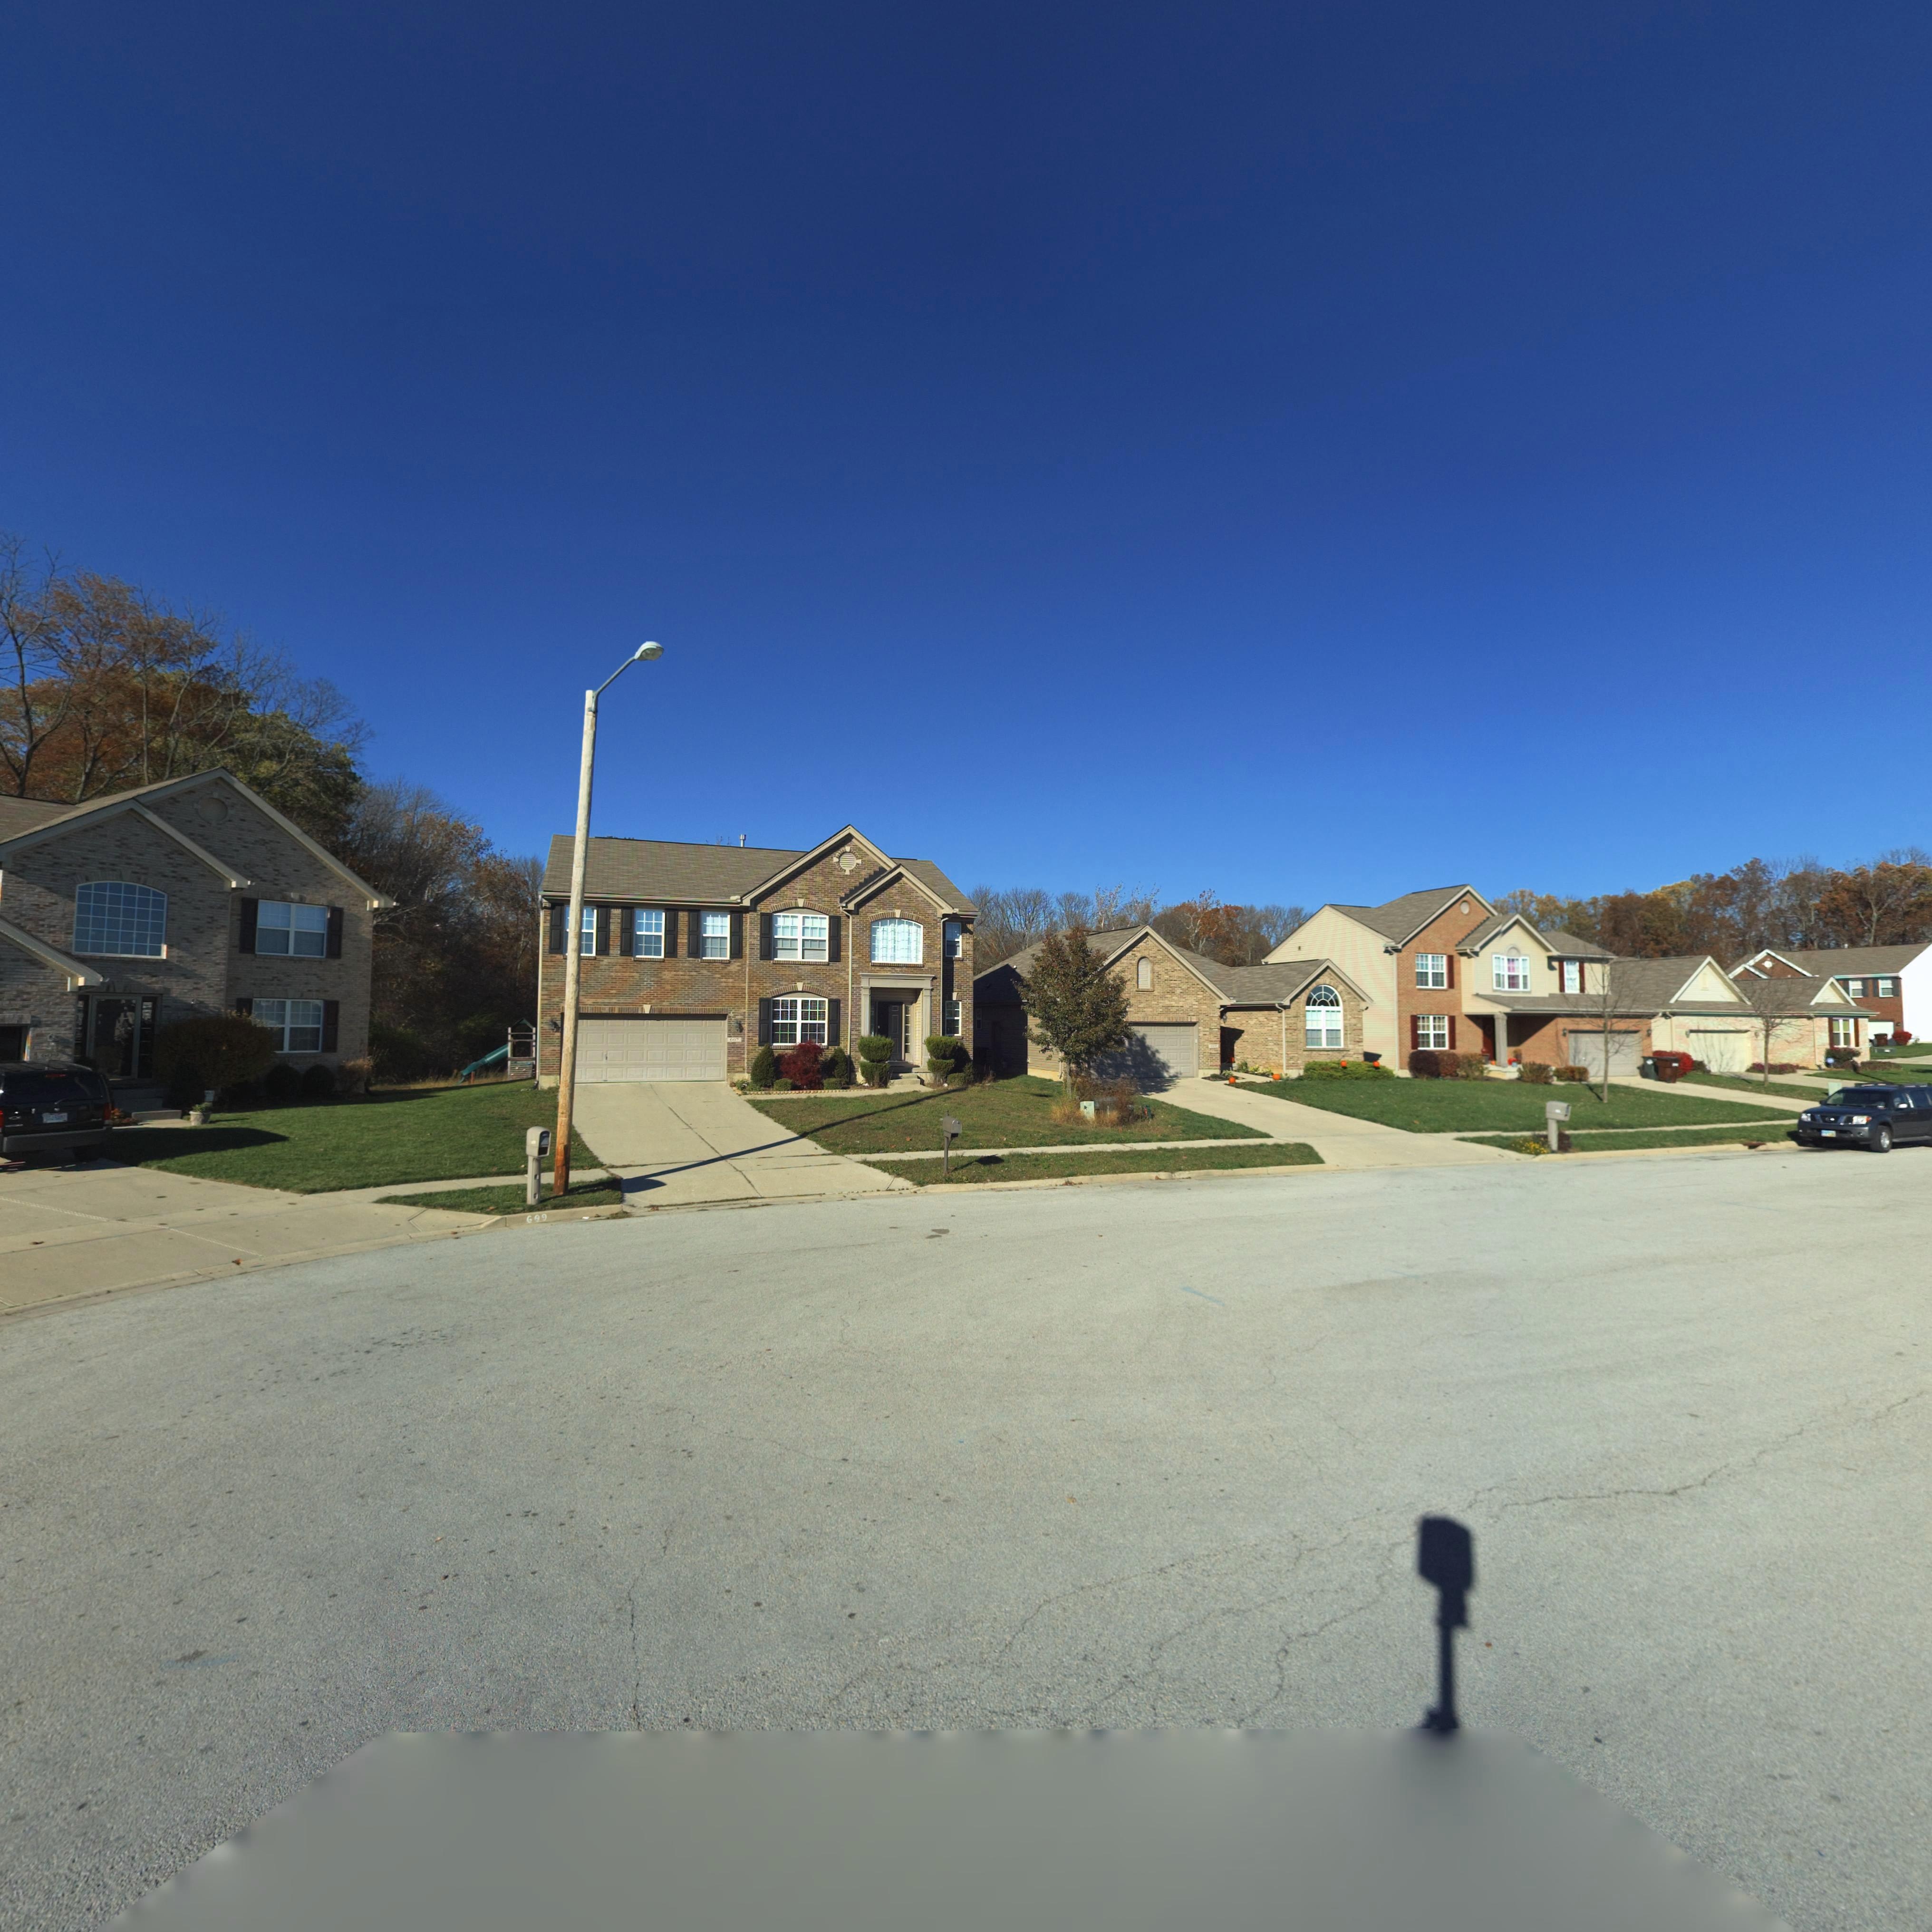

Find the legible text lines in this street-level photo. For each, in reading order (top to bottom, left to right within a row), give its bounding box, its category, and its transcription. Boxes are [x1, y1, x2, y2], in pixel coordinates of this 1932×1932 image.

[729, 1037, 740, 1042] StreetNumber: 607
[1210, 1043, 1218, 1049] StreetNumber: 605
[40, 1052, 59, 1058] StreetNumber: 609
[526, 1213, 547, 1224] StreetNumber: 609